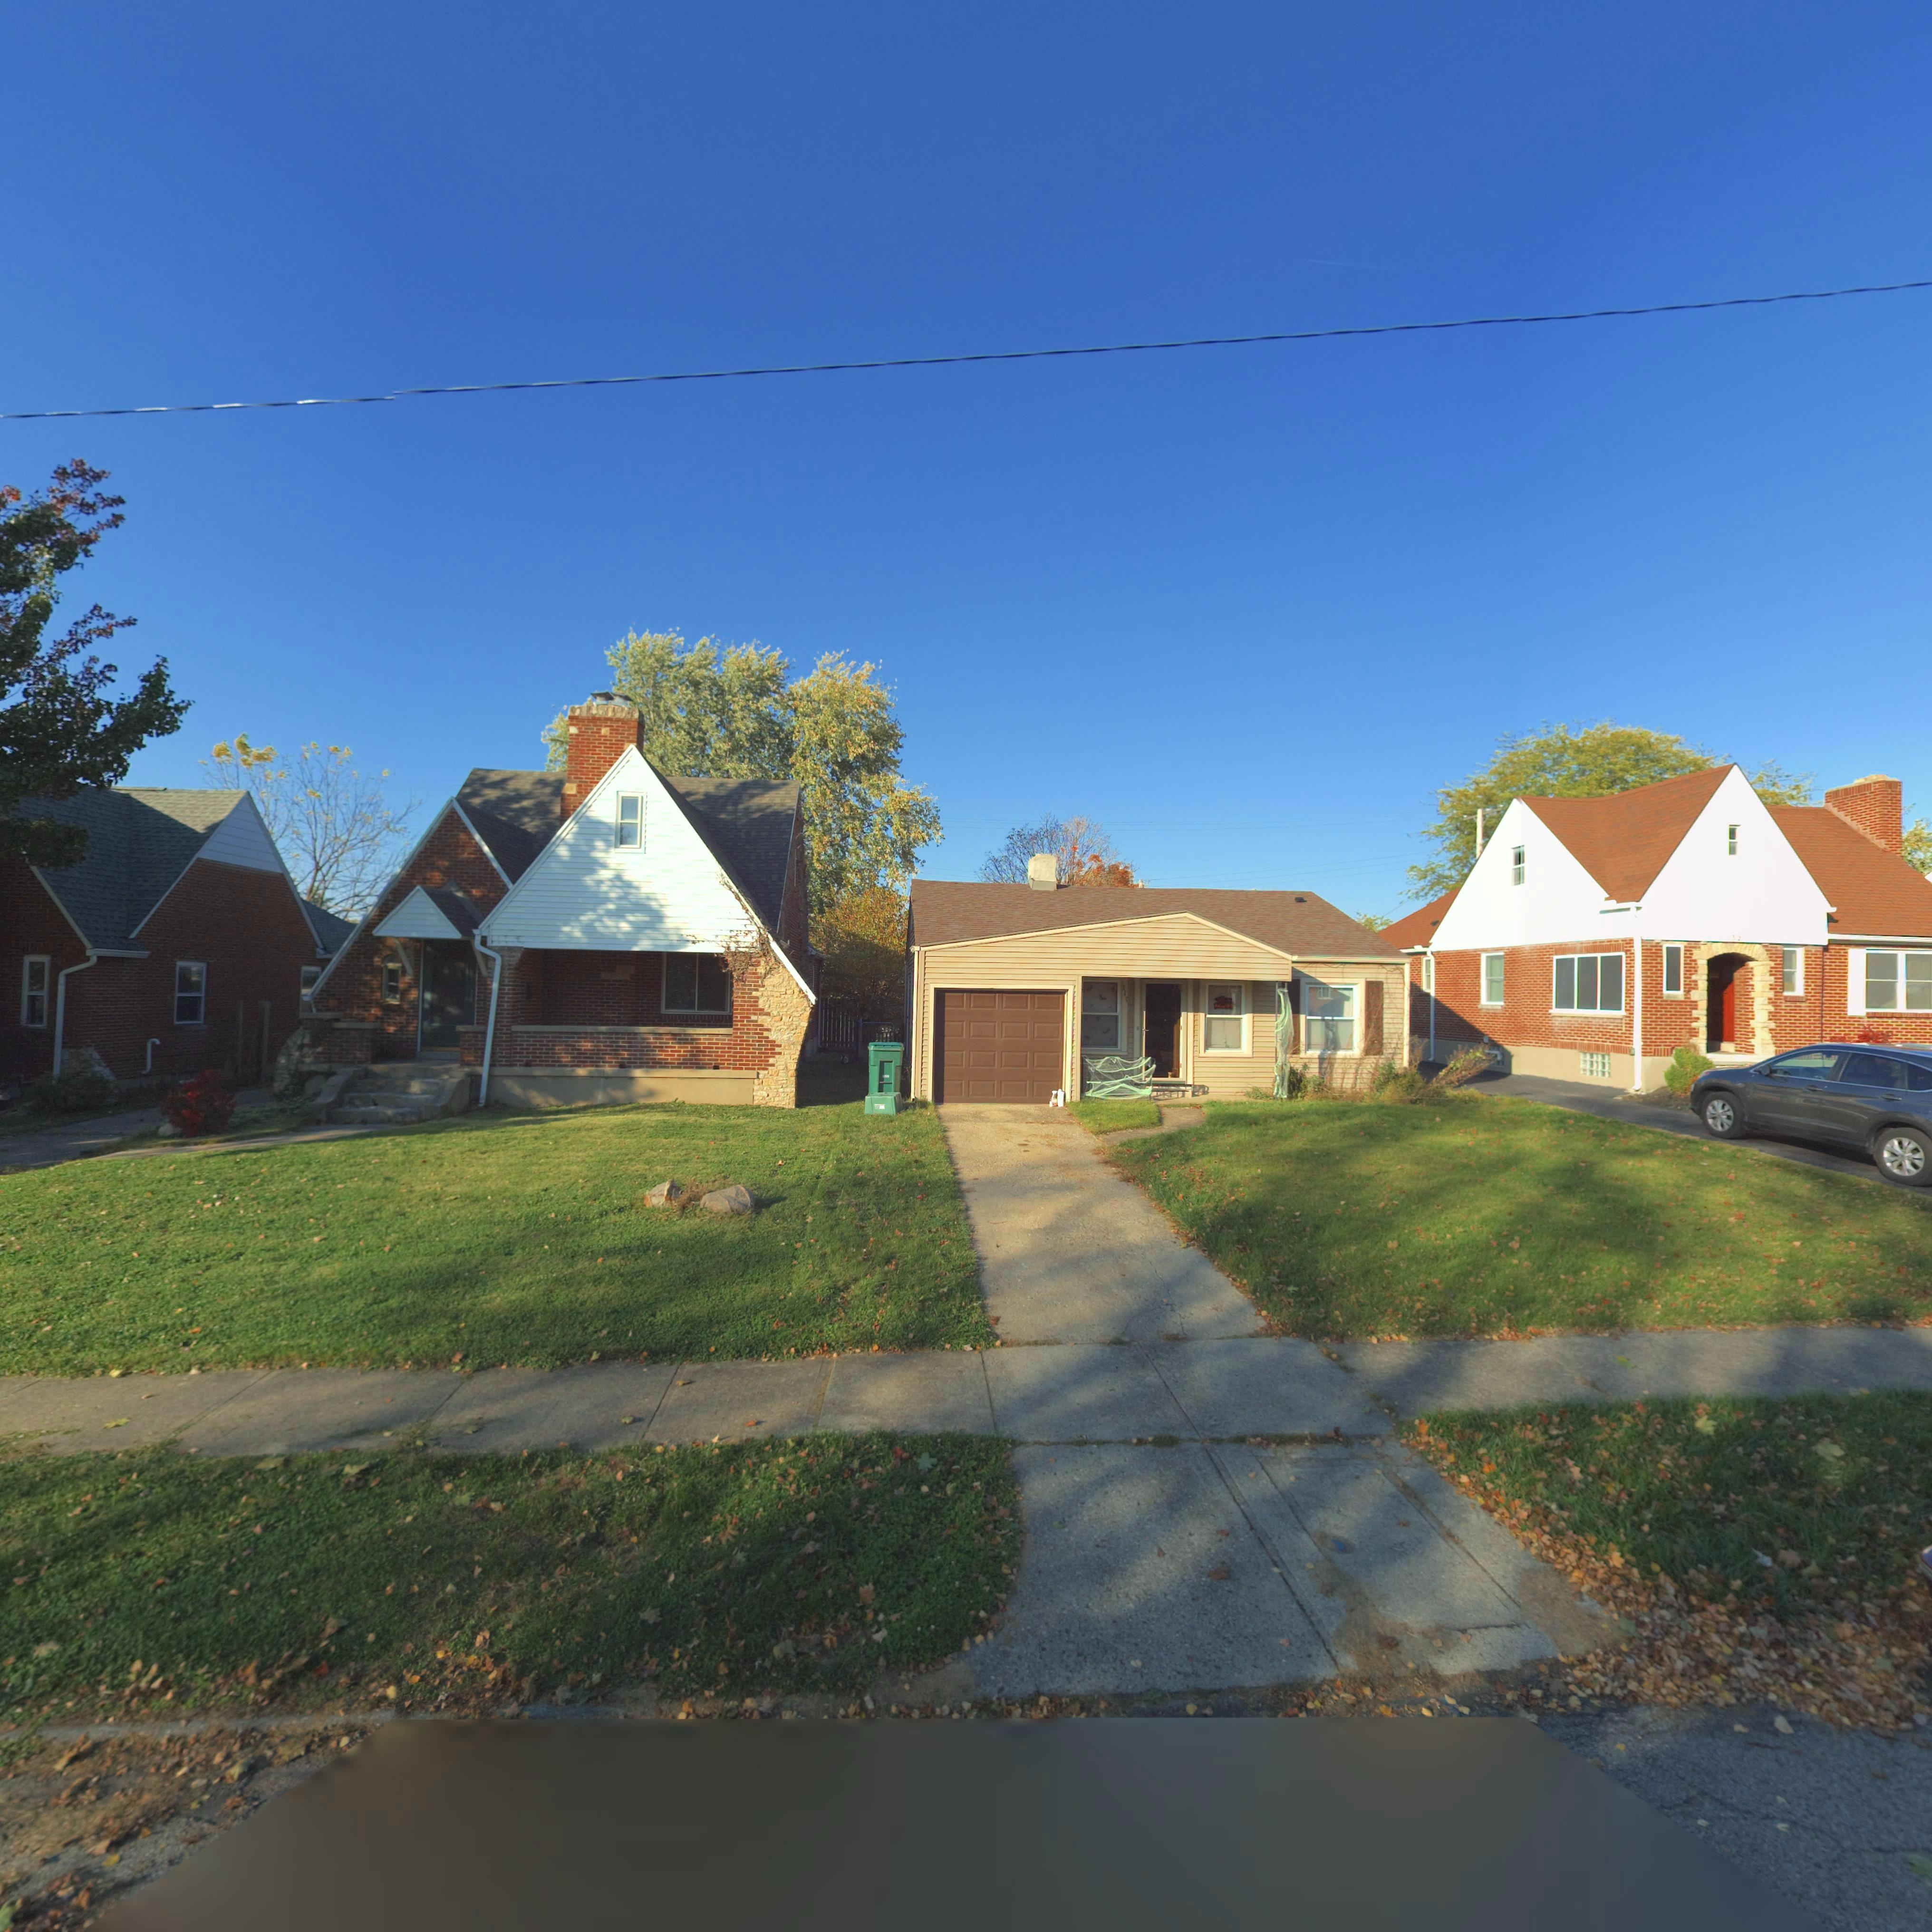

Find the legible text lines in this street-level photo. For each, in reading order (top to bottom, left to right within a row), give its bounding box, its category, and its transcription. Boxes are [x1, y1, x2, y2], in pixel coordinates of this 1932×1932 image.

[1121, 984, 1129, 1003] StreetNumber: 317